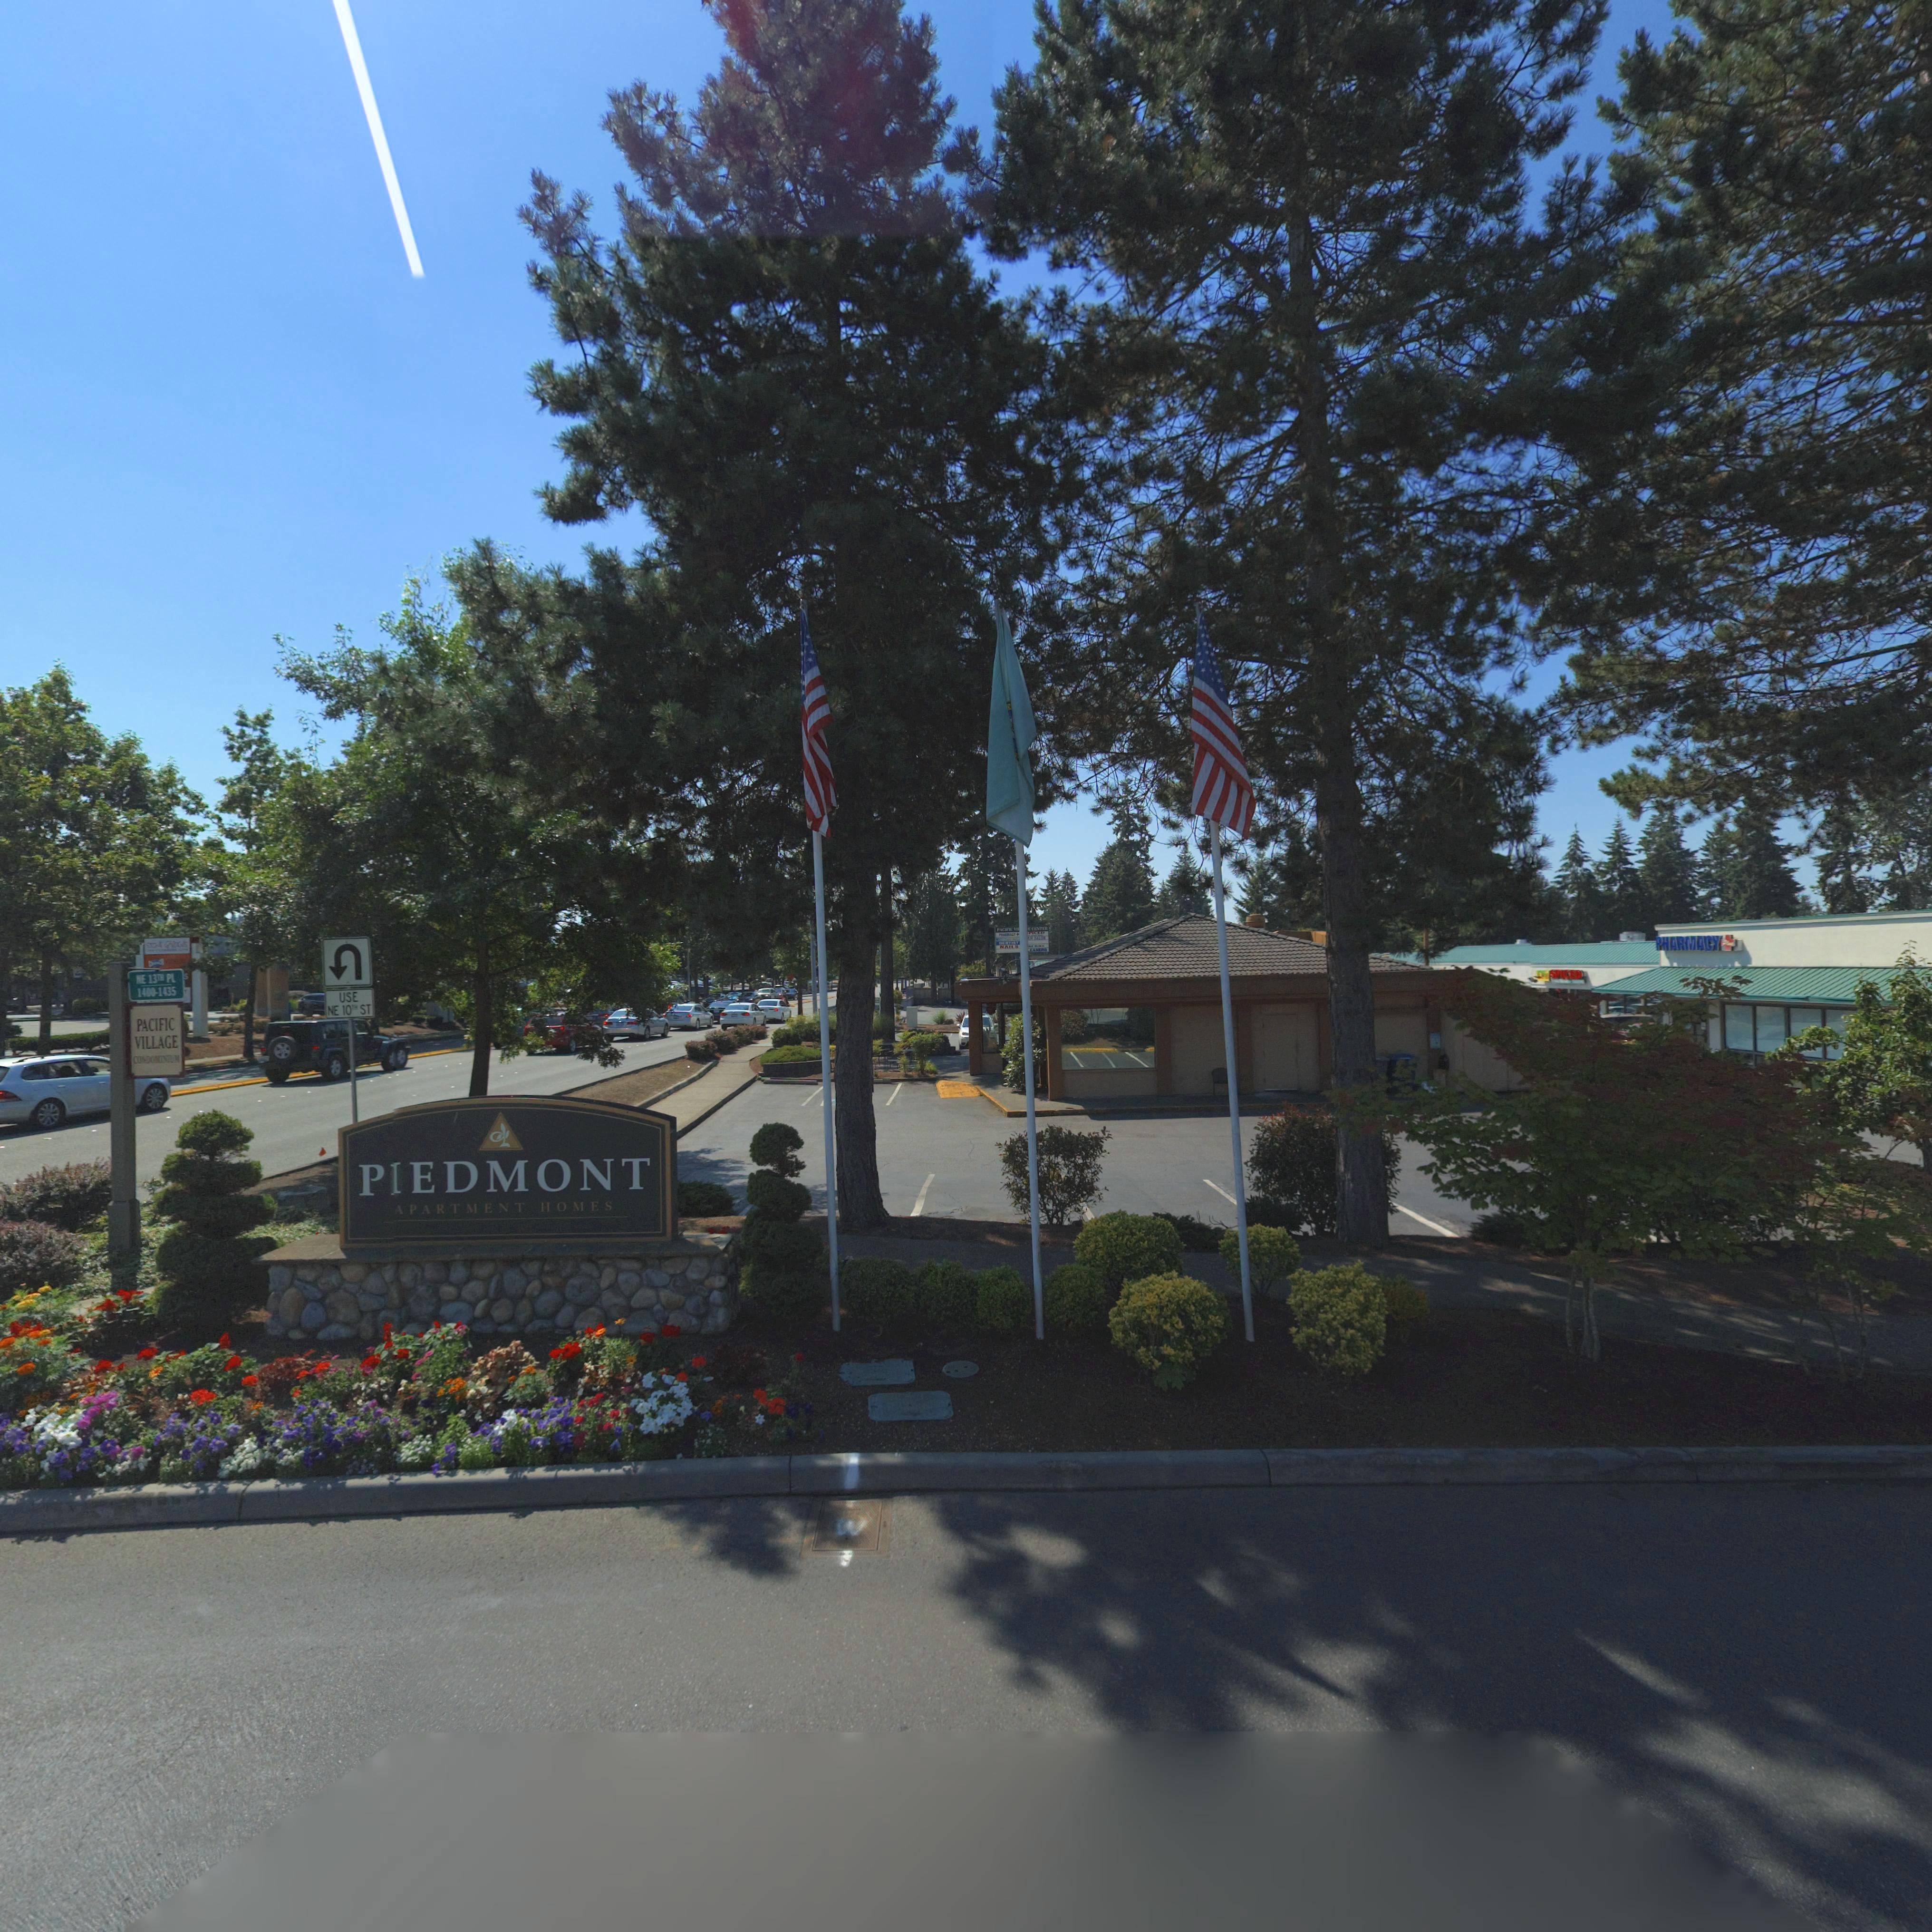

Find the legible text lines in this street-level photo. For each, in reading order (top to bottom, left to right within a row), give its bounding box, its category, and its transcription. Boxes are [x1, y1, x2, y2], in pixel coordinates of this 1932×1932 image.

[998, 944, 1019, 948] BusinessName: NAILS
[1654, 933, 1723, 953] BusinessName: PHARMACY
[134, 972, 177, 984] TrafficSign: NE 13TH PL
[1547, 968, 1584, 979] BusinessName: SPICED
[136, 985, 177, 998] StreetNumberRange: 1400-1435
[338, 989, 358, 1002] TrafficSign: 1155
[327, 1004, 372, 1016] TrafficSign: NE 10TH ST
[132, 1034, 182, 1052] BusinessName: VILLAGE
[357, 1155, 653, 1198] BusinessName: PIEDMONT
[392, 1199, 616, 1215] BusinessName: APARTMENT HOMES